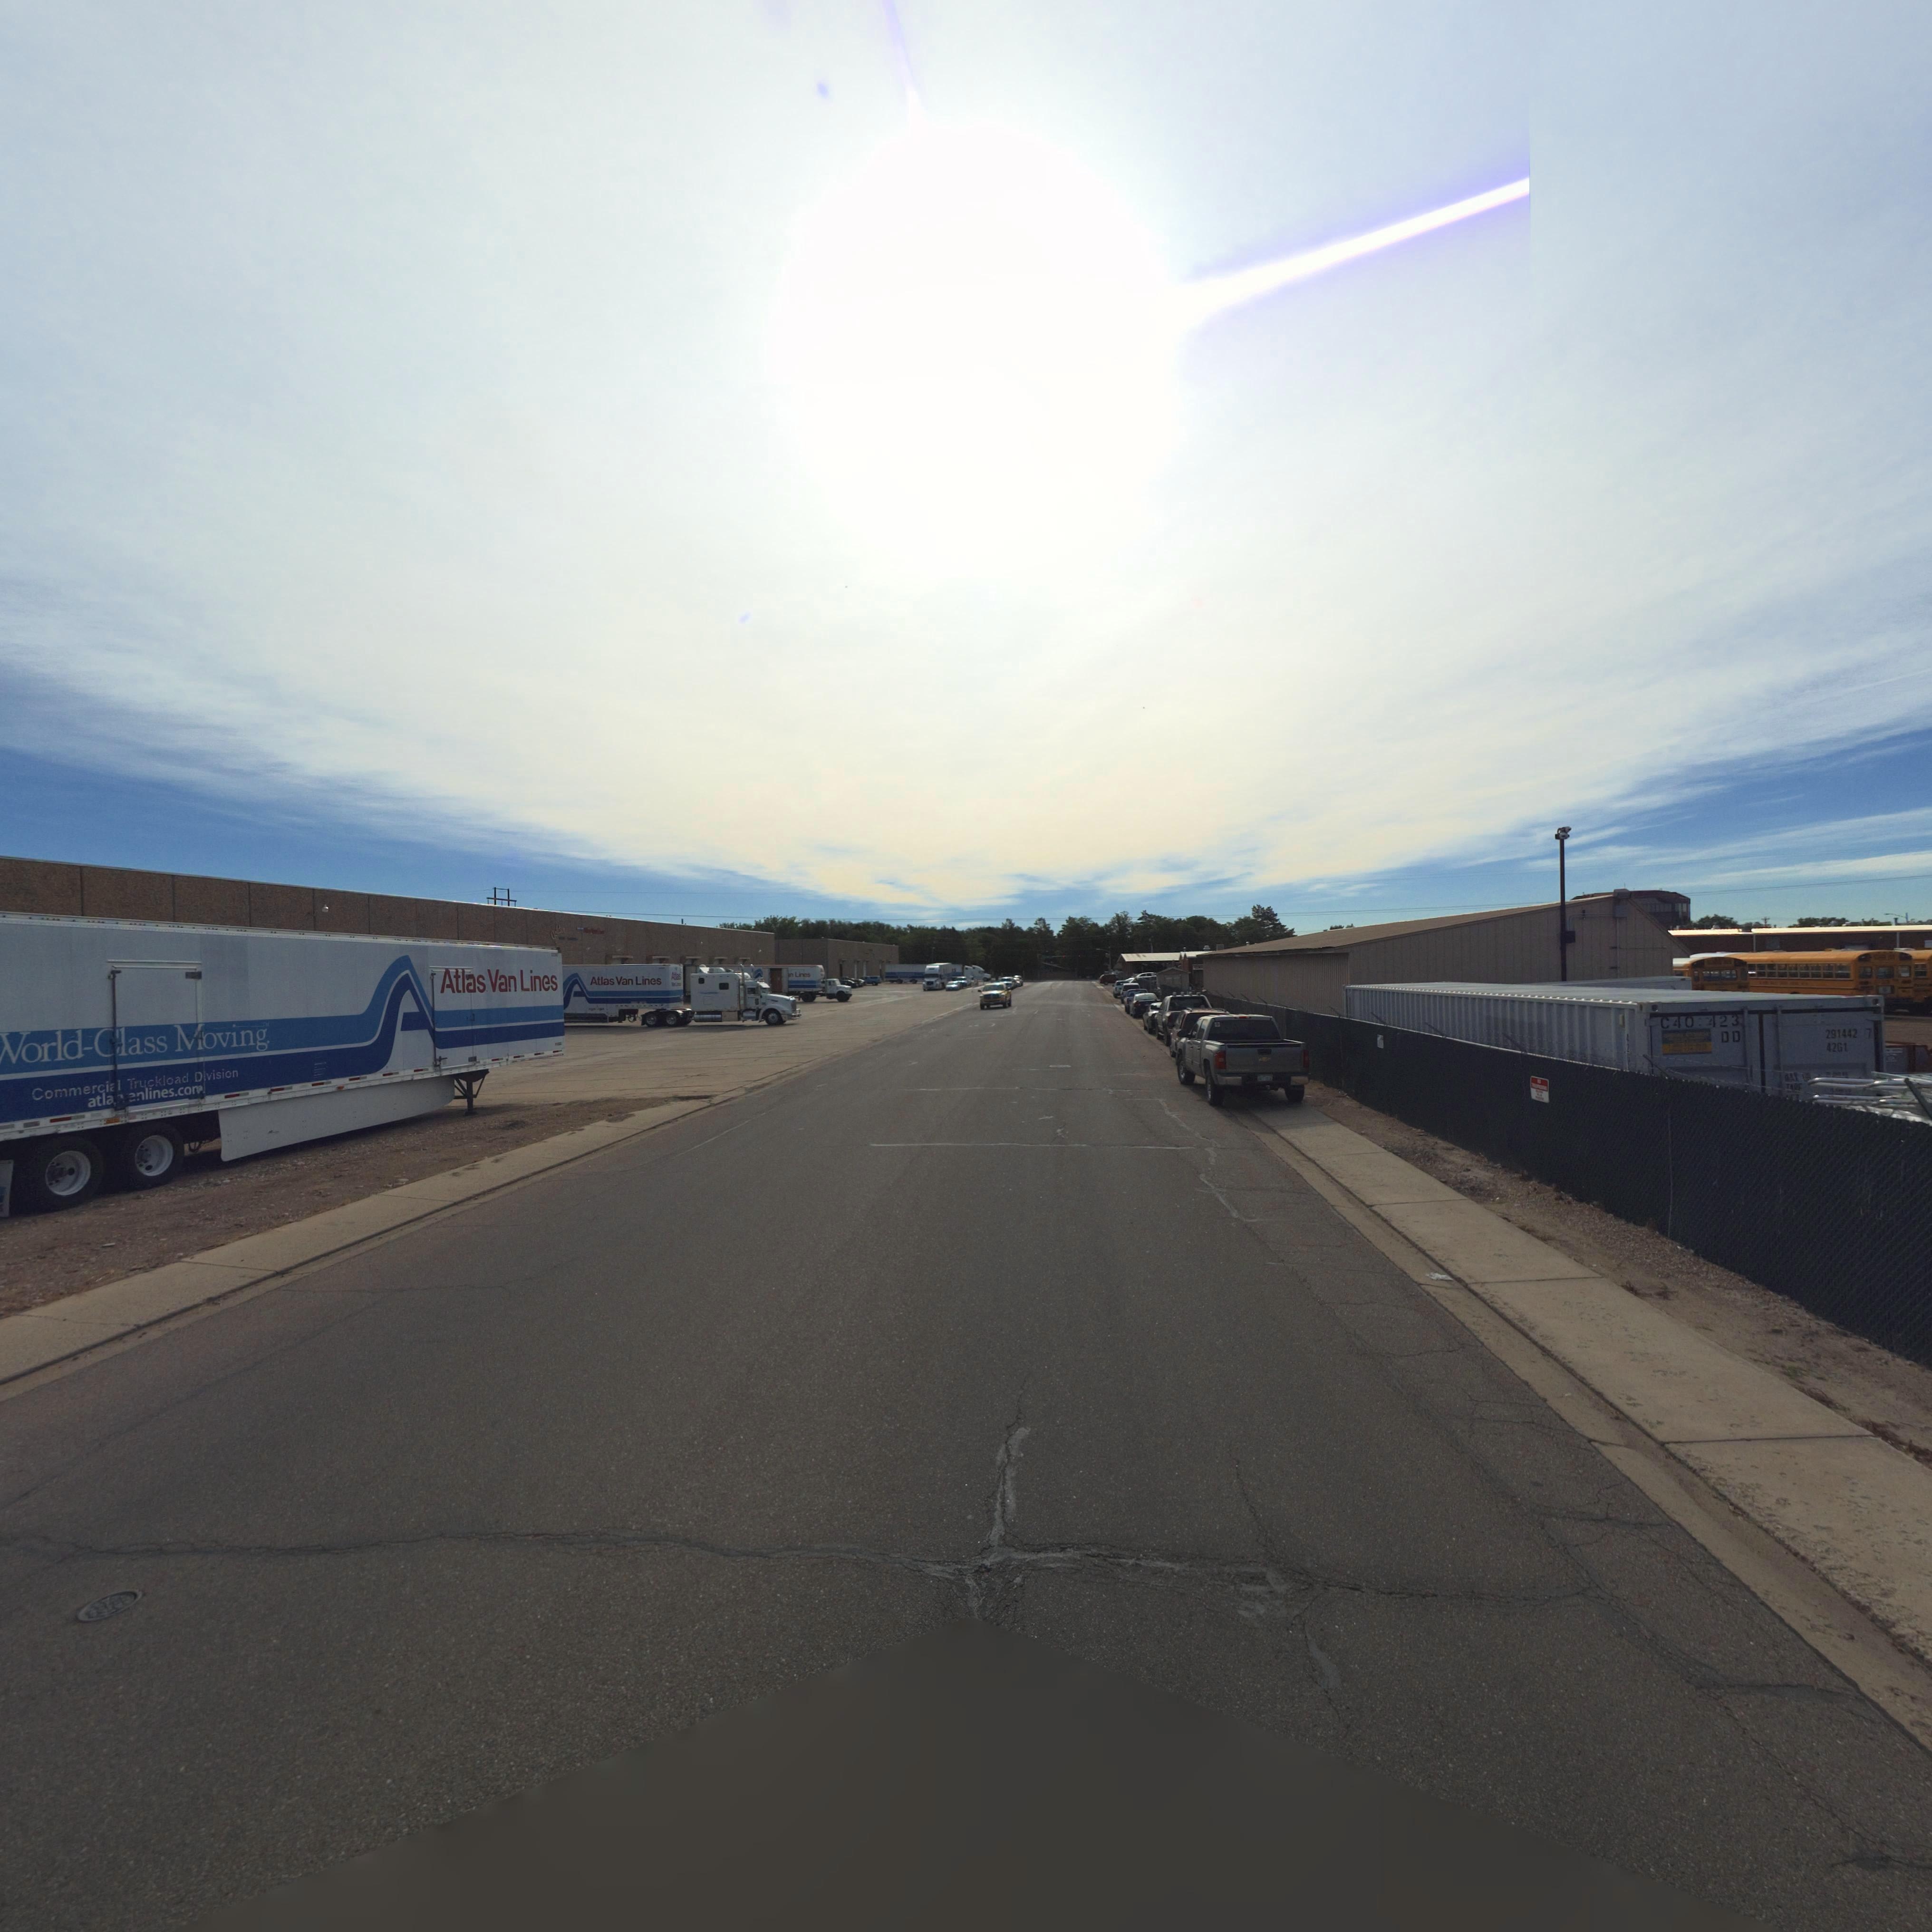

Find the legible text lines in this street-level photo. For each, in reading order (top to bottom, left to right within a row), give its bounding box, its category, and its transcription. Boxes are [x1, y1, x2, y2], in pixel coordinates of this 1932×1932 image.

[550, 924, 565, 943] BusinessName: g**d*n